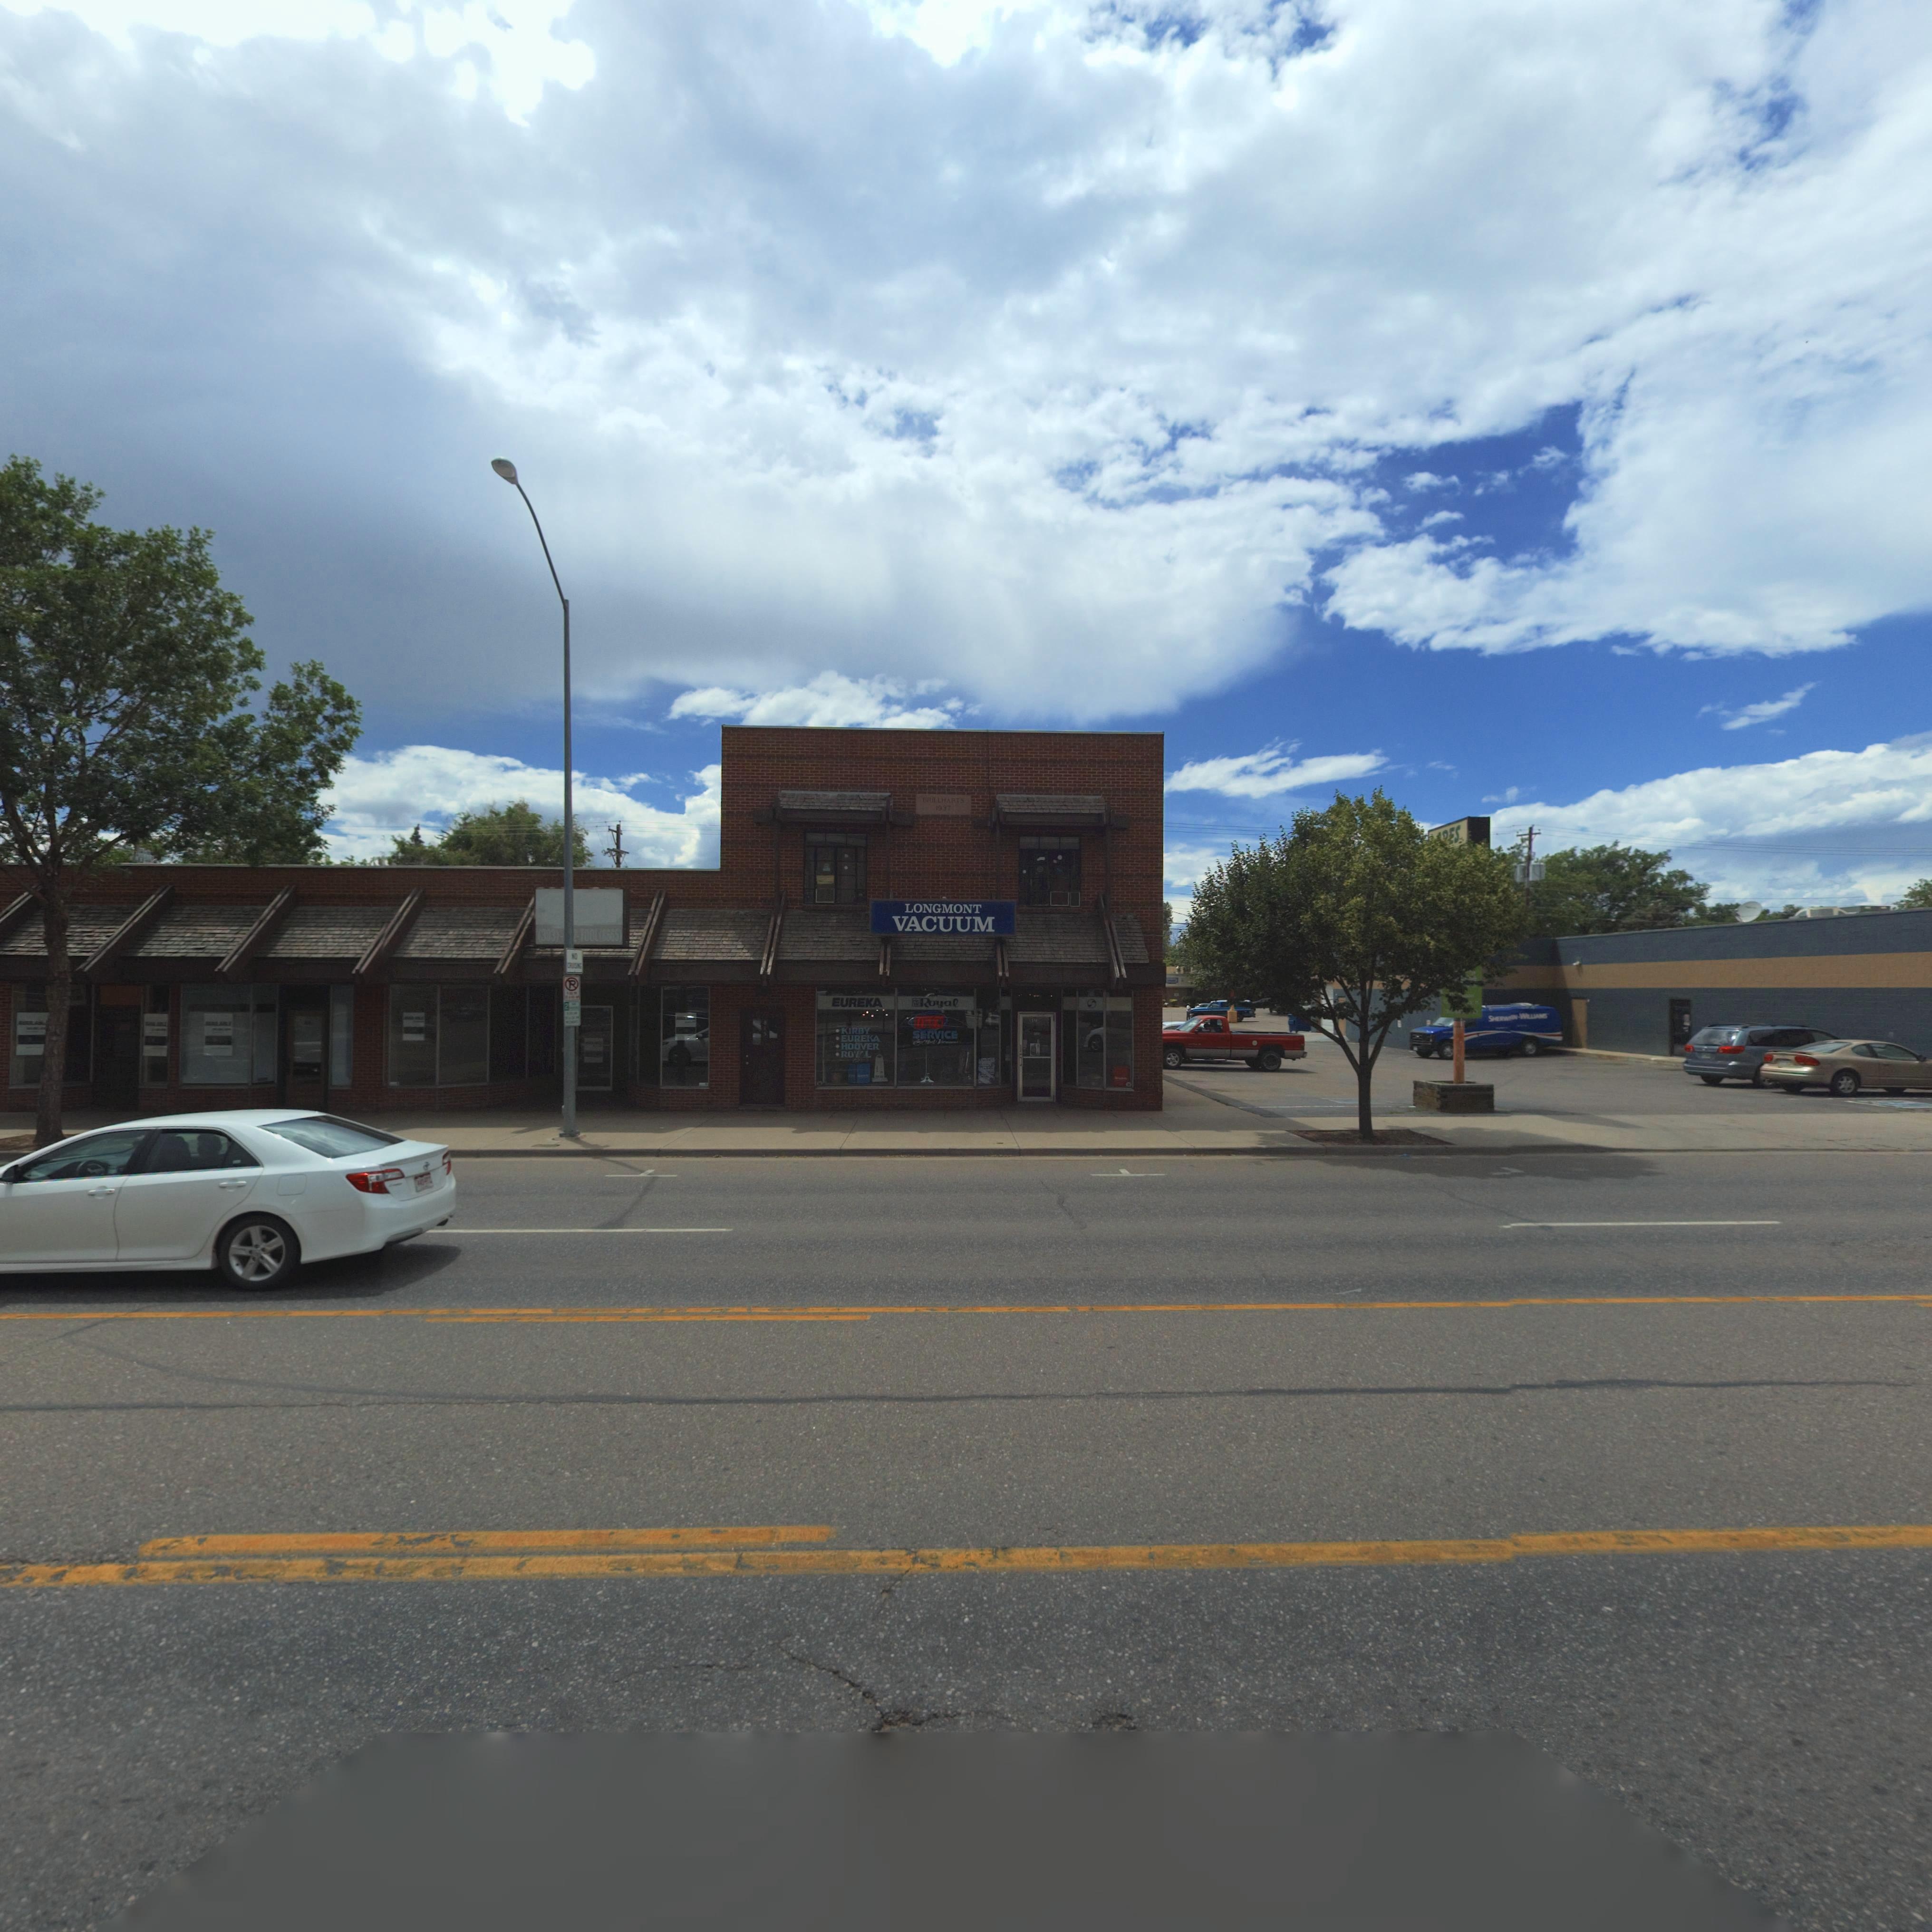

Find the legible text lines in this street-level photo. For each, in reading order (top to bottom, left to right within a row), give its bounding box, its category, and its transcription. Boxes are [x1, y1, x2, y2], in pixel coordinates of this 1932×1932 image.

[1434, 824, 1460, 847] BusinessName: **ES
[905, 903, 982, 913] BusinessName: LONGMONT
[892, 916, 995, 932] BusinessName: VACUUM